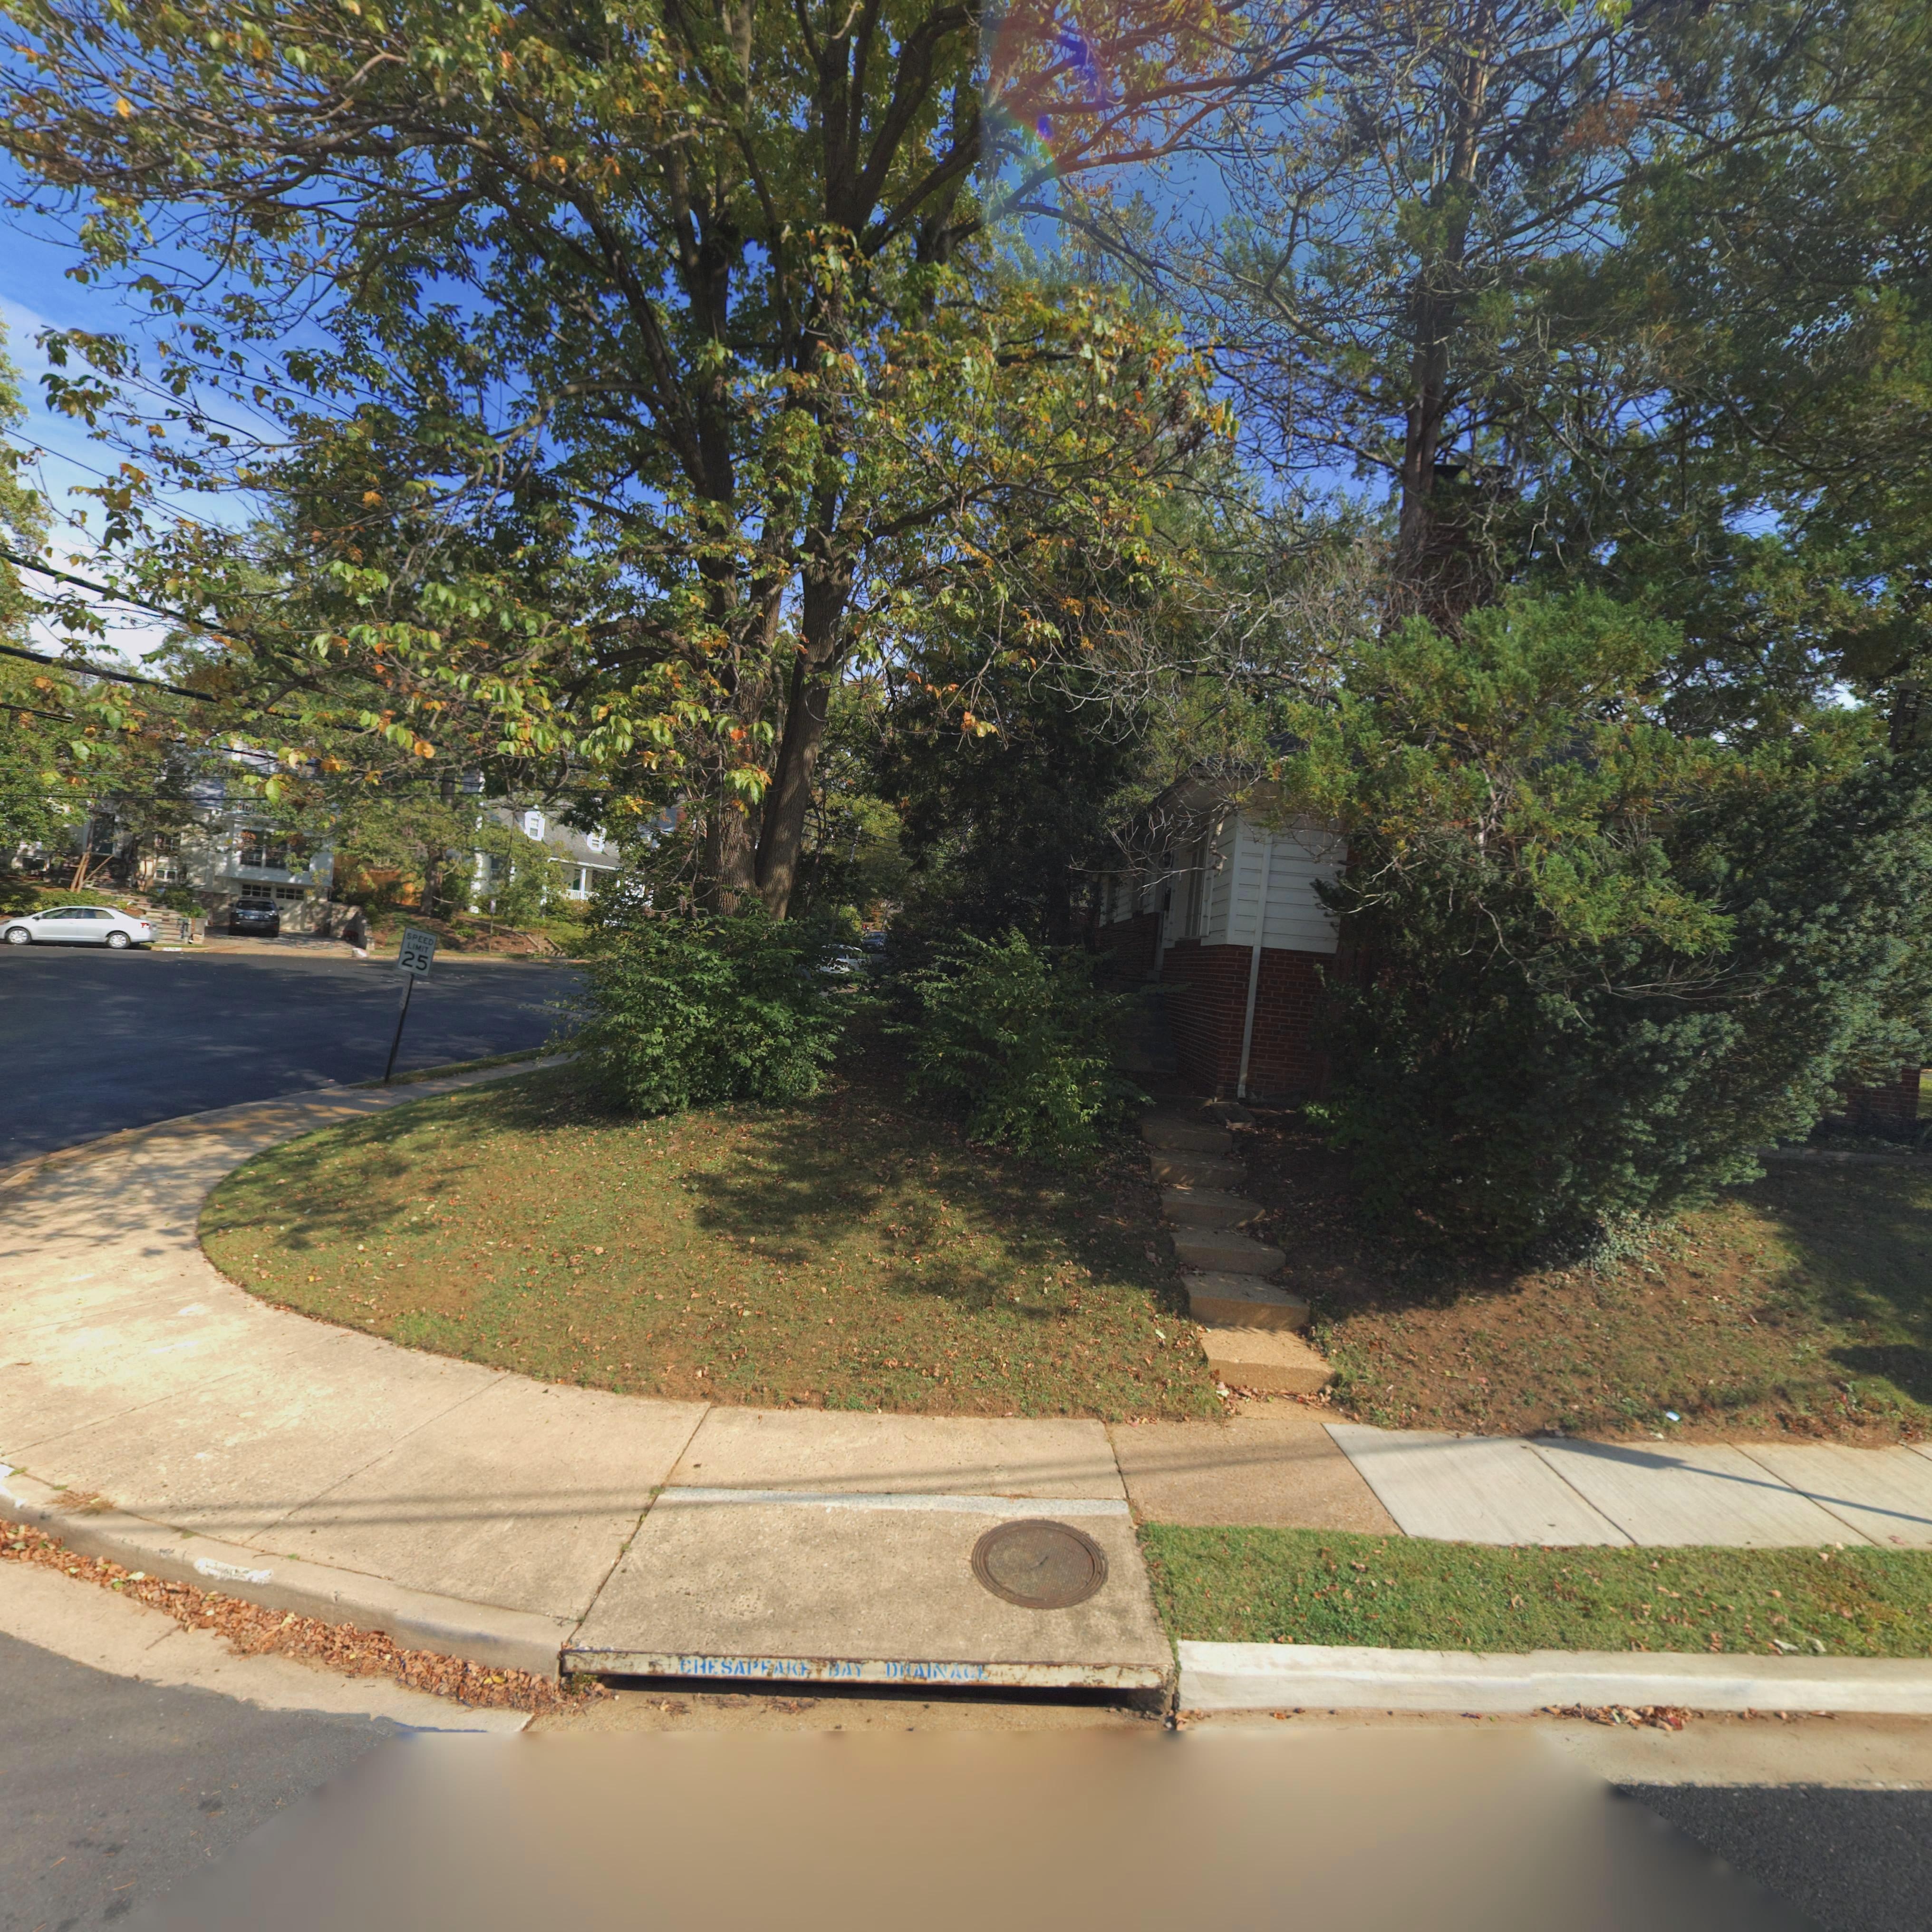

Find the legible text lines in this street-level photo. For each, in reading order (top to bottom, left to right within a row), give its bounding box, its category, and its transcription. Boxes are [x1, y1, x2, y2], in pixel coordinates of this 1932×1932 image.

[406, 931, 435, 947] None: SPEED
[406, 940, 432, 955] None: LIMIT
[399, 949, 431, 973] None: 25